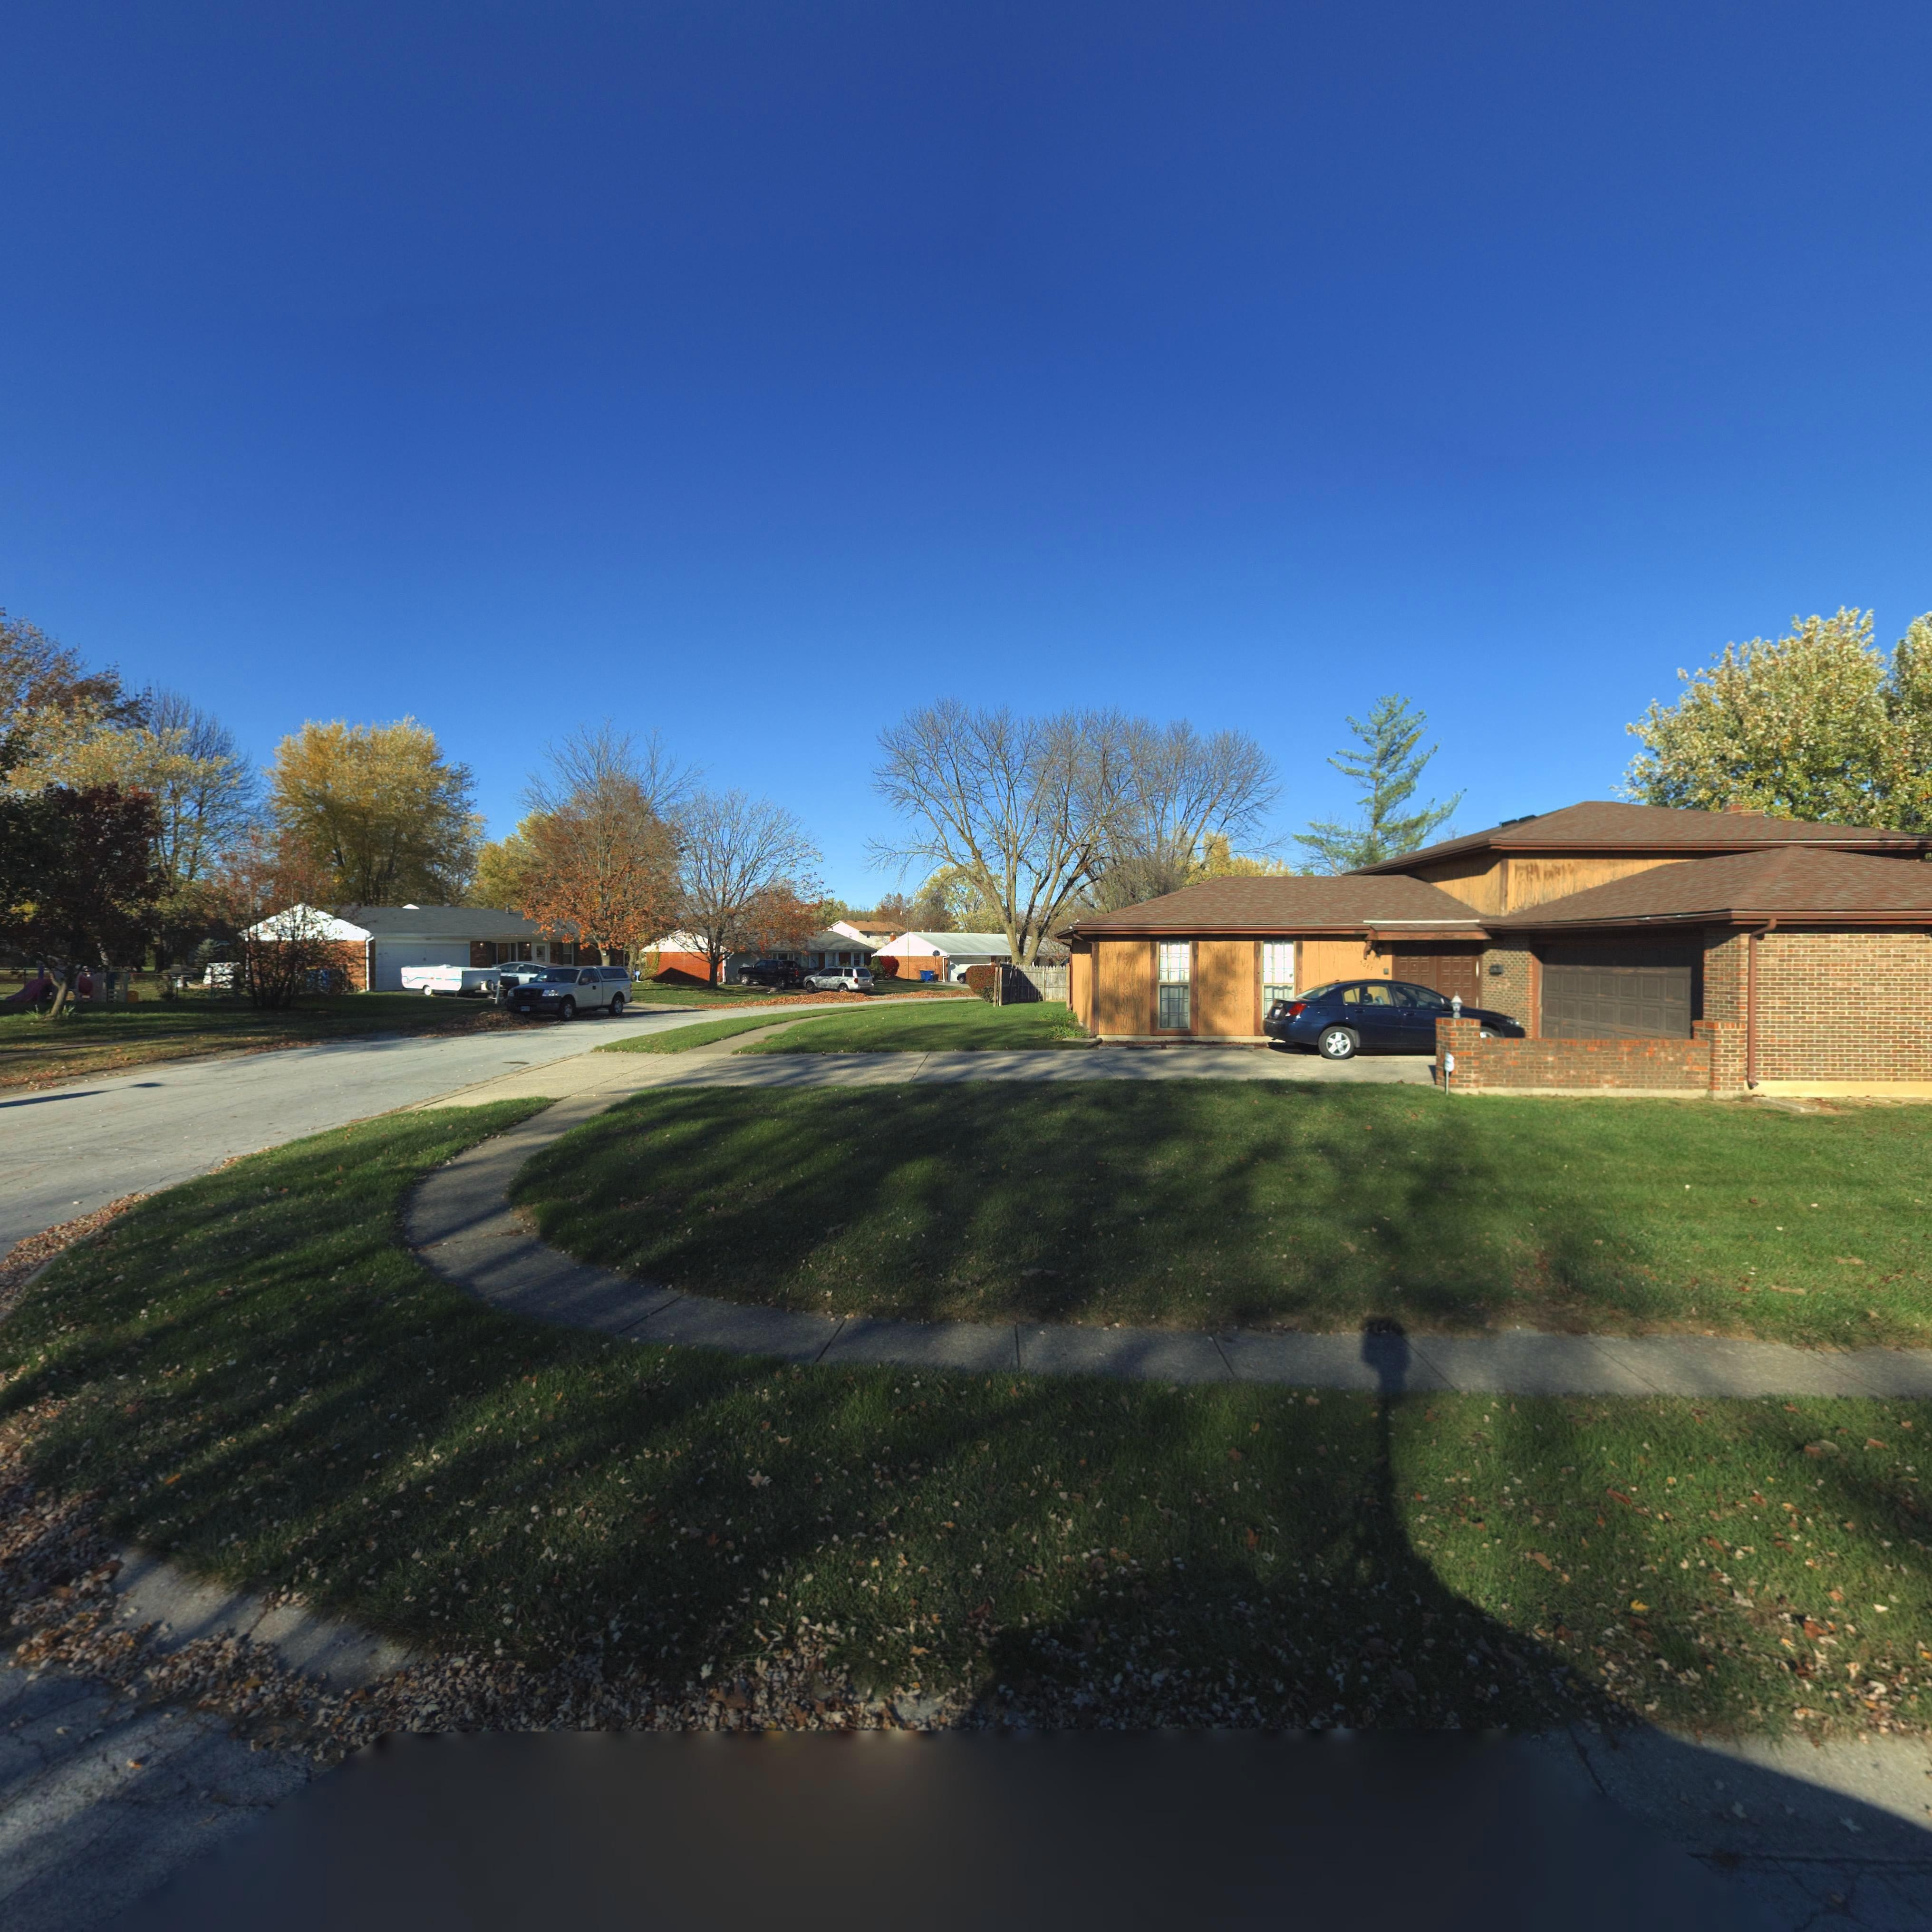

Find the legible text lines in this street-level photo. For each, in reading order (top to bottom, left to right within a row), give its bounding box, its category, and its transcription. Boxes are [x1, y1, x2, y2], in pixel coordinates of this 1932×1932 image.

[1359, 960, 1374, 971] StreetNumber: 5087